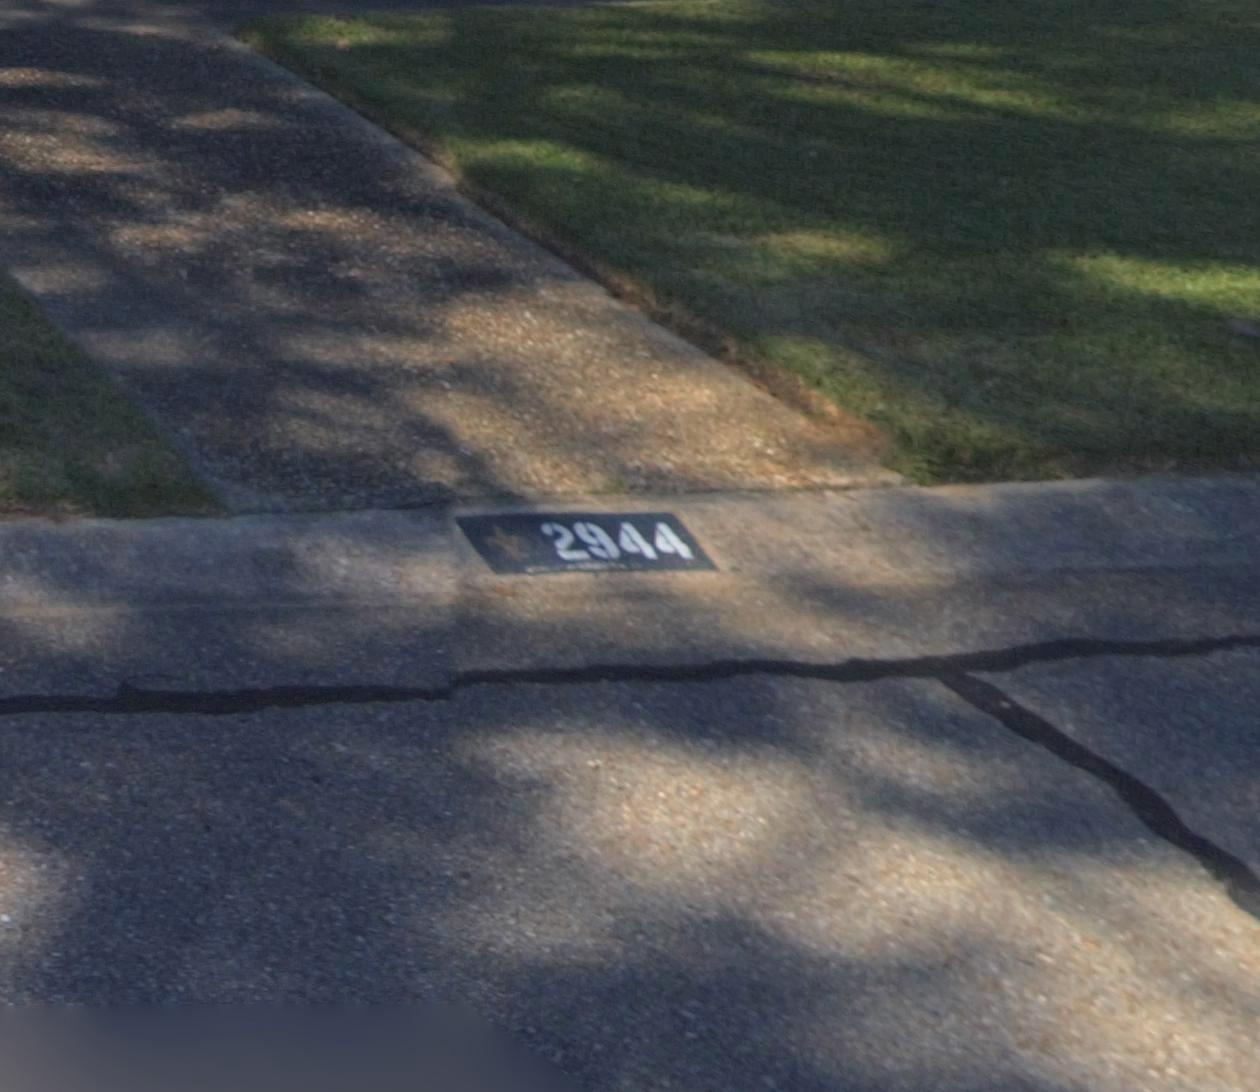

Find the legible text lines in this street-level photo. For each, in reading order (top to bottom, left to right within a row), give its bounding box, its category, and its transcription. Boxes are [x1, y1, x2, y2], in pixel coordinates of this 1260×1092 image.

[537, 518, 699, 563] StreetNumber: 2944